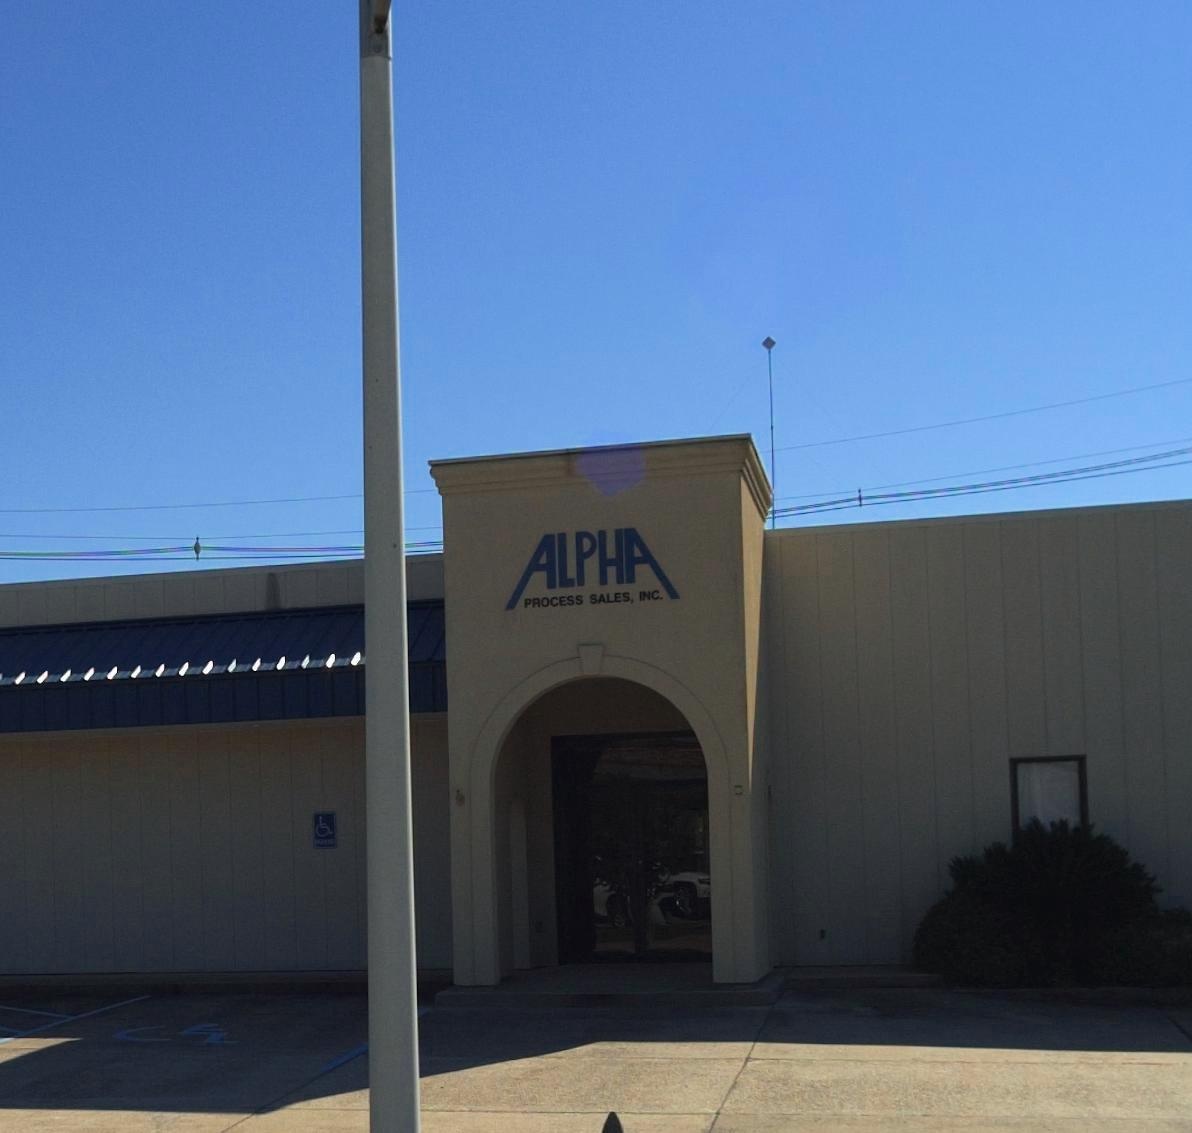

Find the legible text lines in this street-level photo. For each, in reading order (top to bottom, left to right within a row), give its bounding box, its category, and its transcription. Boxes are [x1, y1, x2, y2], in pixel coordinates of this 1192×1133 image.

[498, 523, 688, 615] BusinessName: Alpha Process Sales, INC
[521, 587, 666, 612] BusinessName: PROCESS